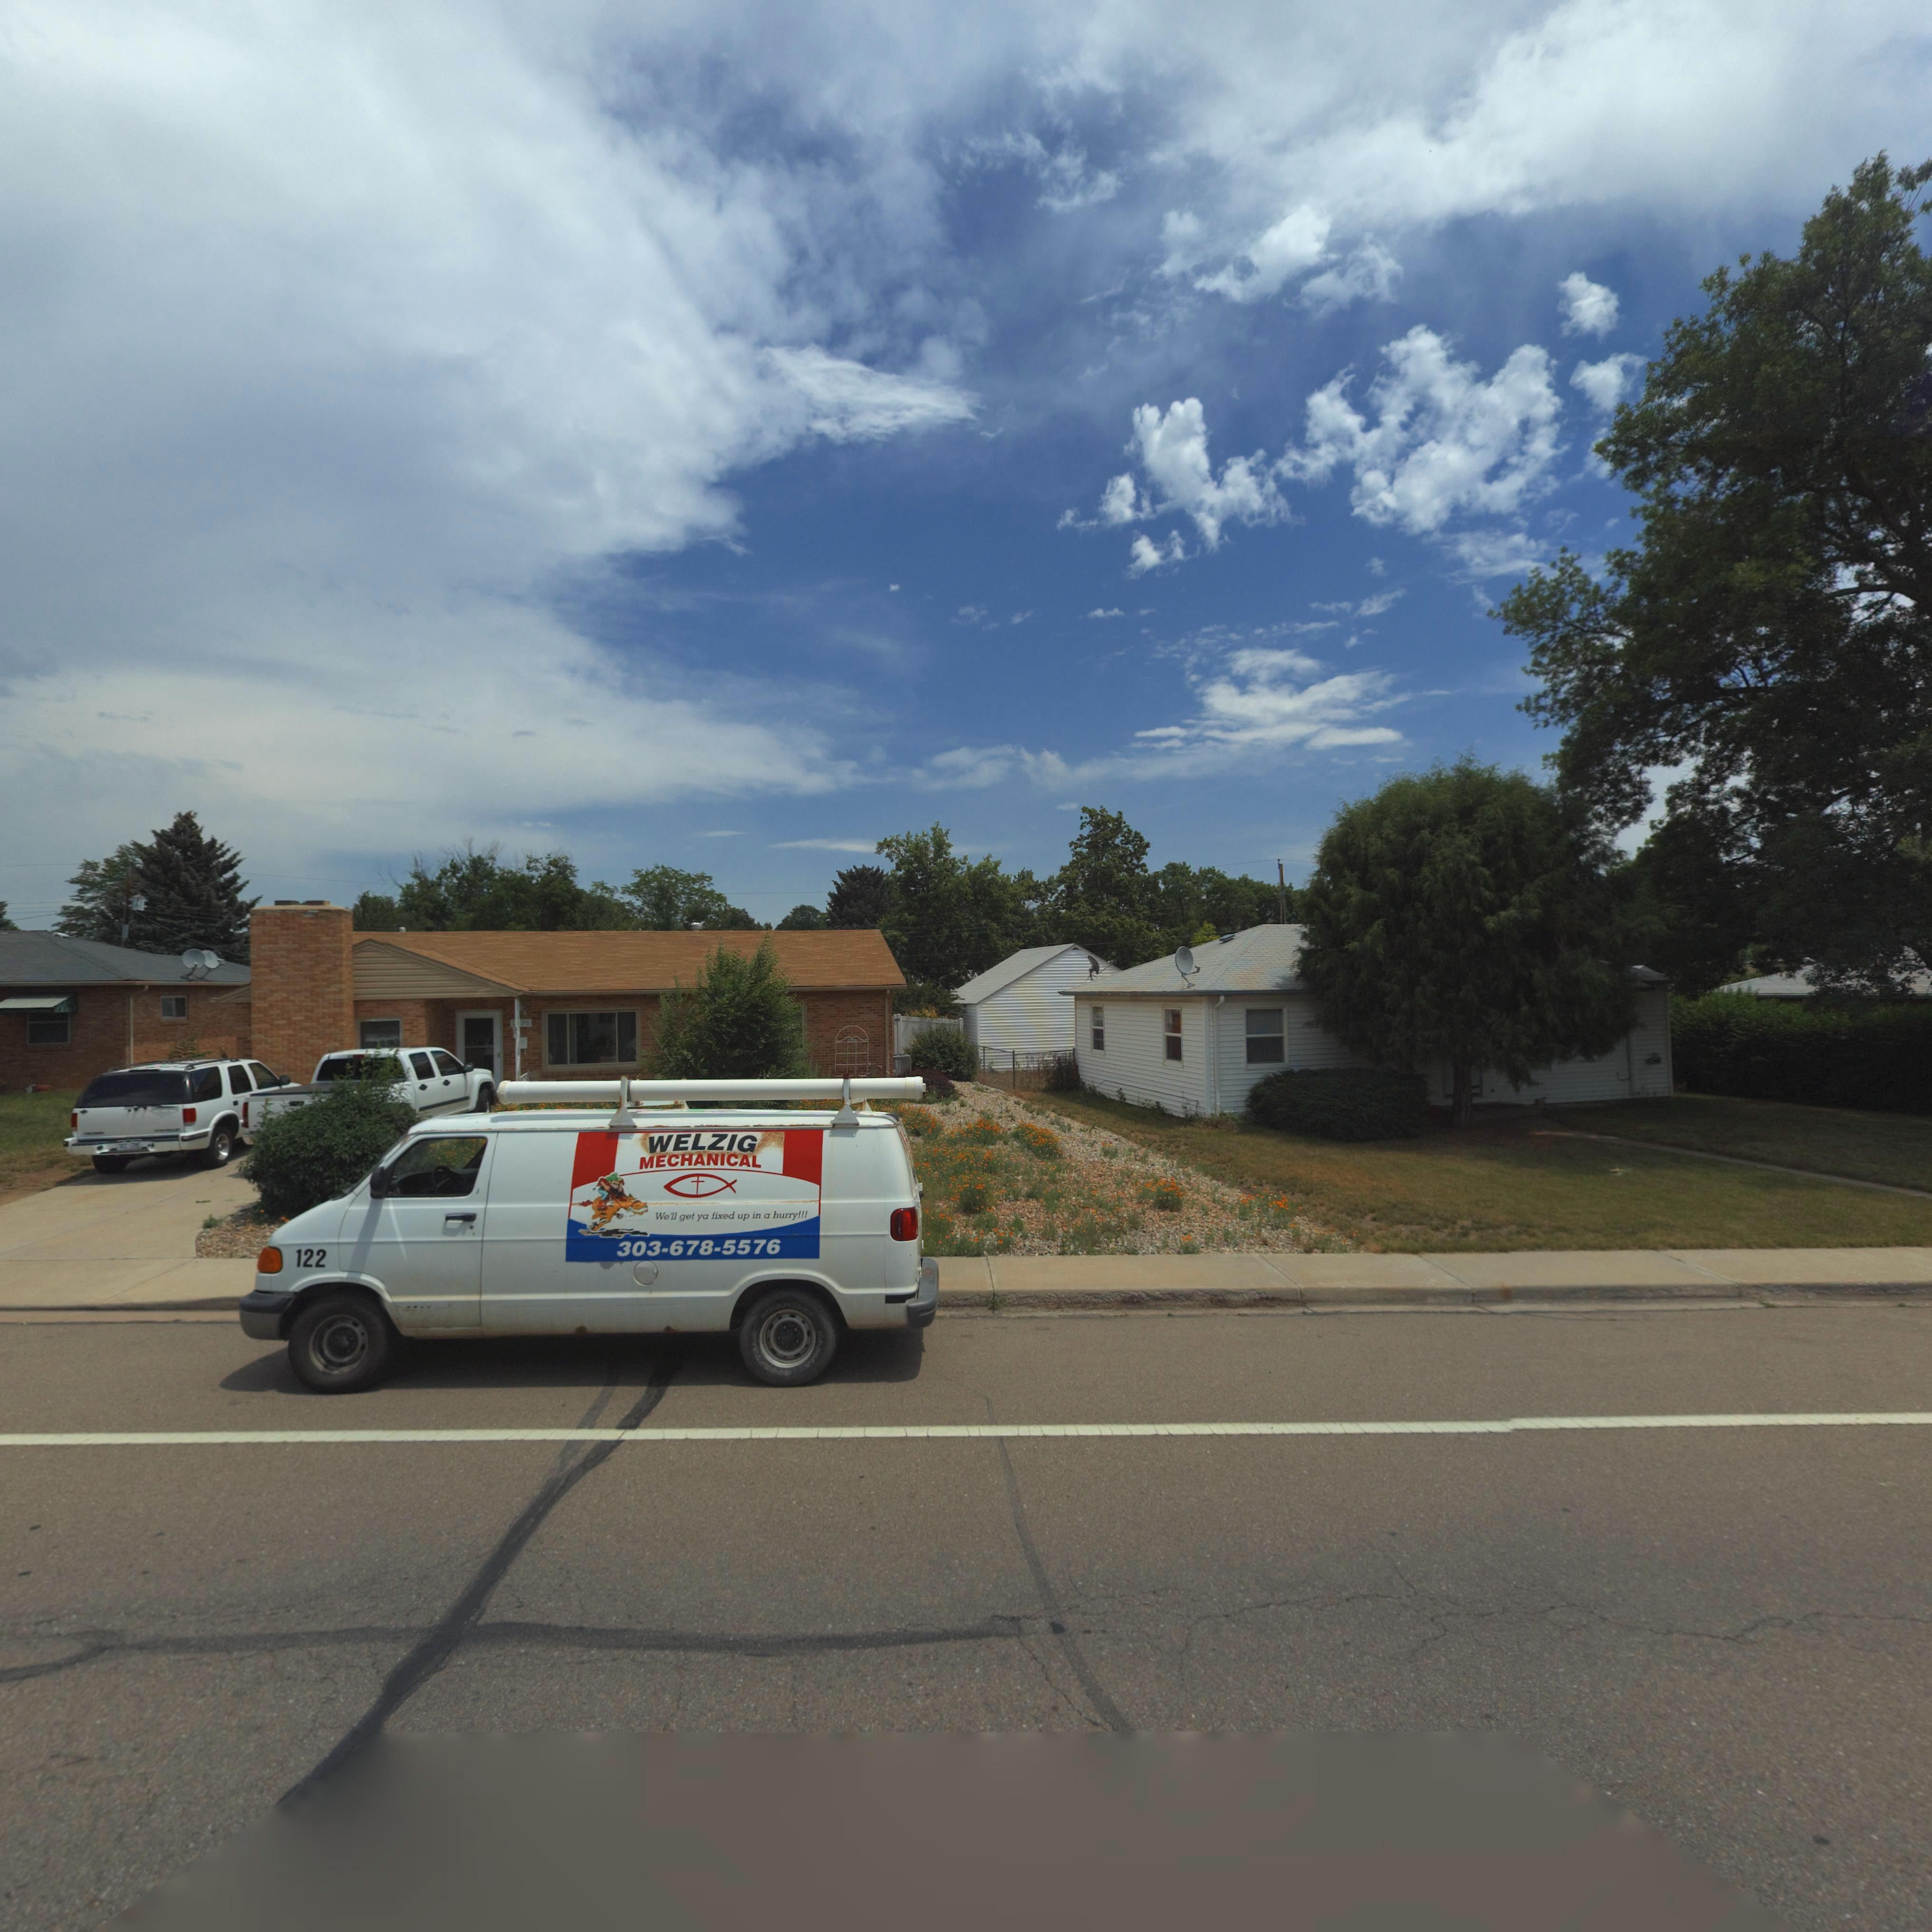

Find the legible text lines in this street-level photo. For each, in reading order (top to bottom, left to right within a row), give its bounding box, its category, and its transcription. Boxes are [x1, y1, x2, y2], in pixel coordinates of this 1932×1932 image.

[512, 1020, 530, 1026] StreetNumber: **30